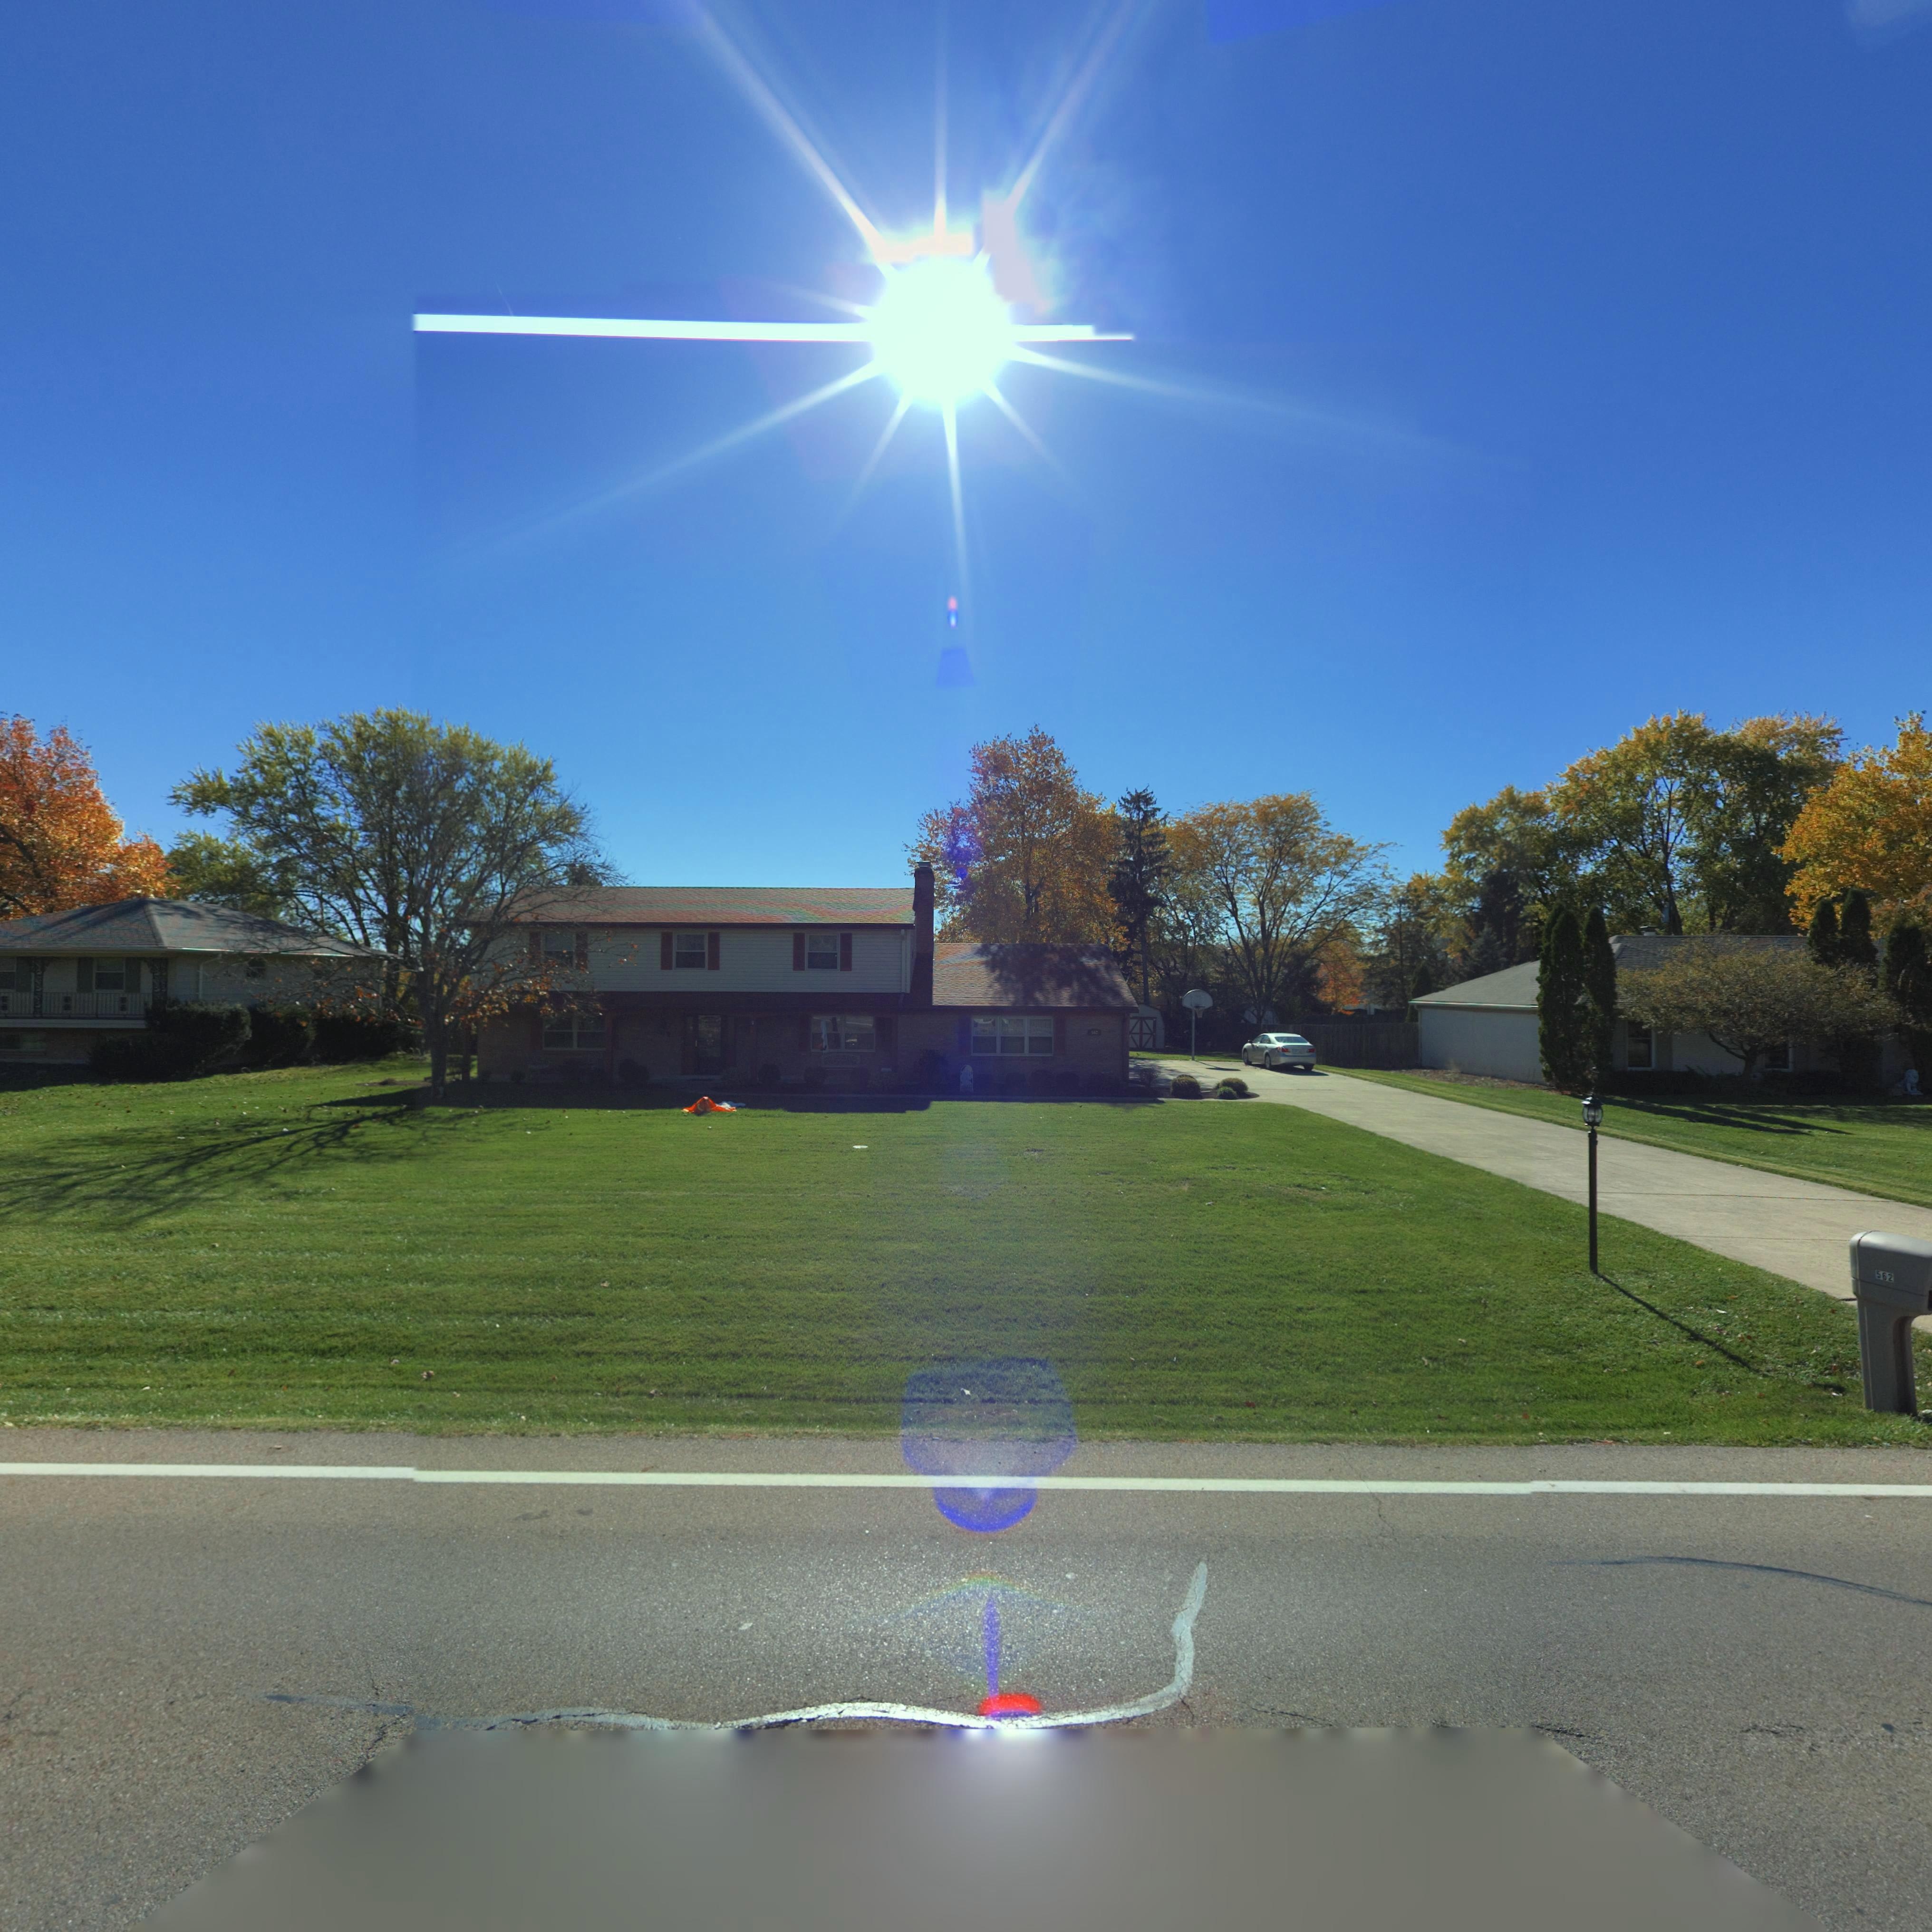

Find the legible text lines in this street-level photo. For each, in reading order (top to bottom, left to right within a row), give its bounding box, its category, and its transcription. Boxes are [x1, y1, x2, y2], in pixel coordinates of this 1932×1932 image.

[1091, 1030, 1098, 1035] StreetNumber: 5**
[1875, 1269, 1893, 1283] StreetNumber: 562